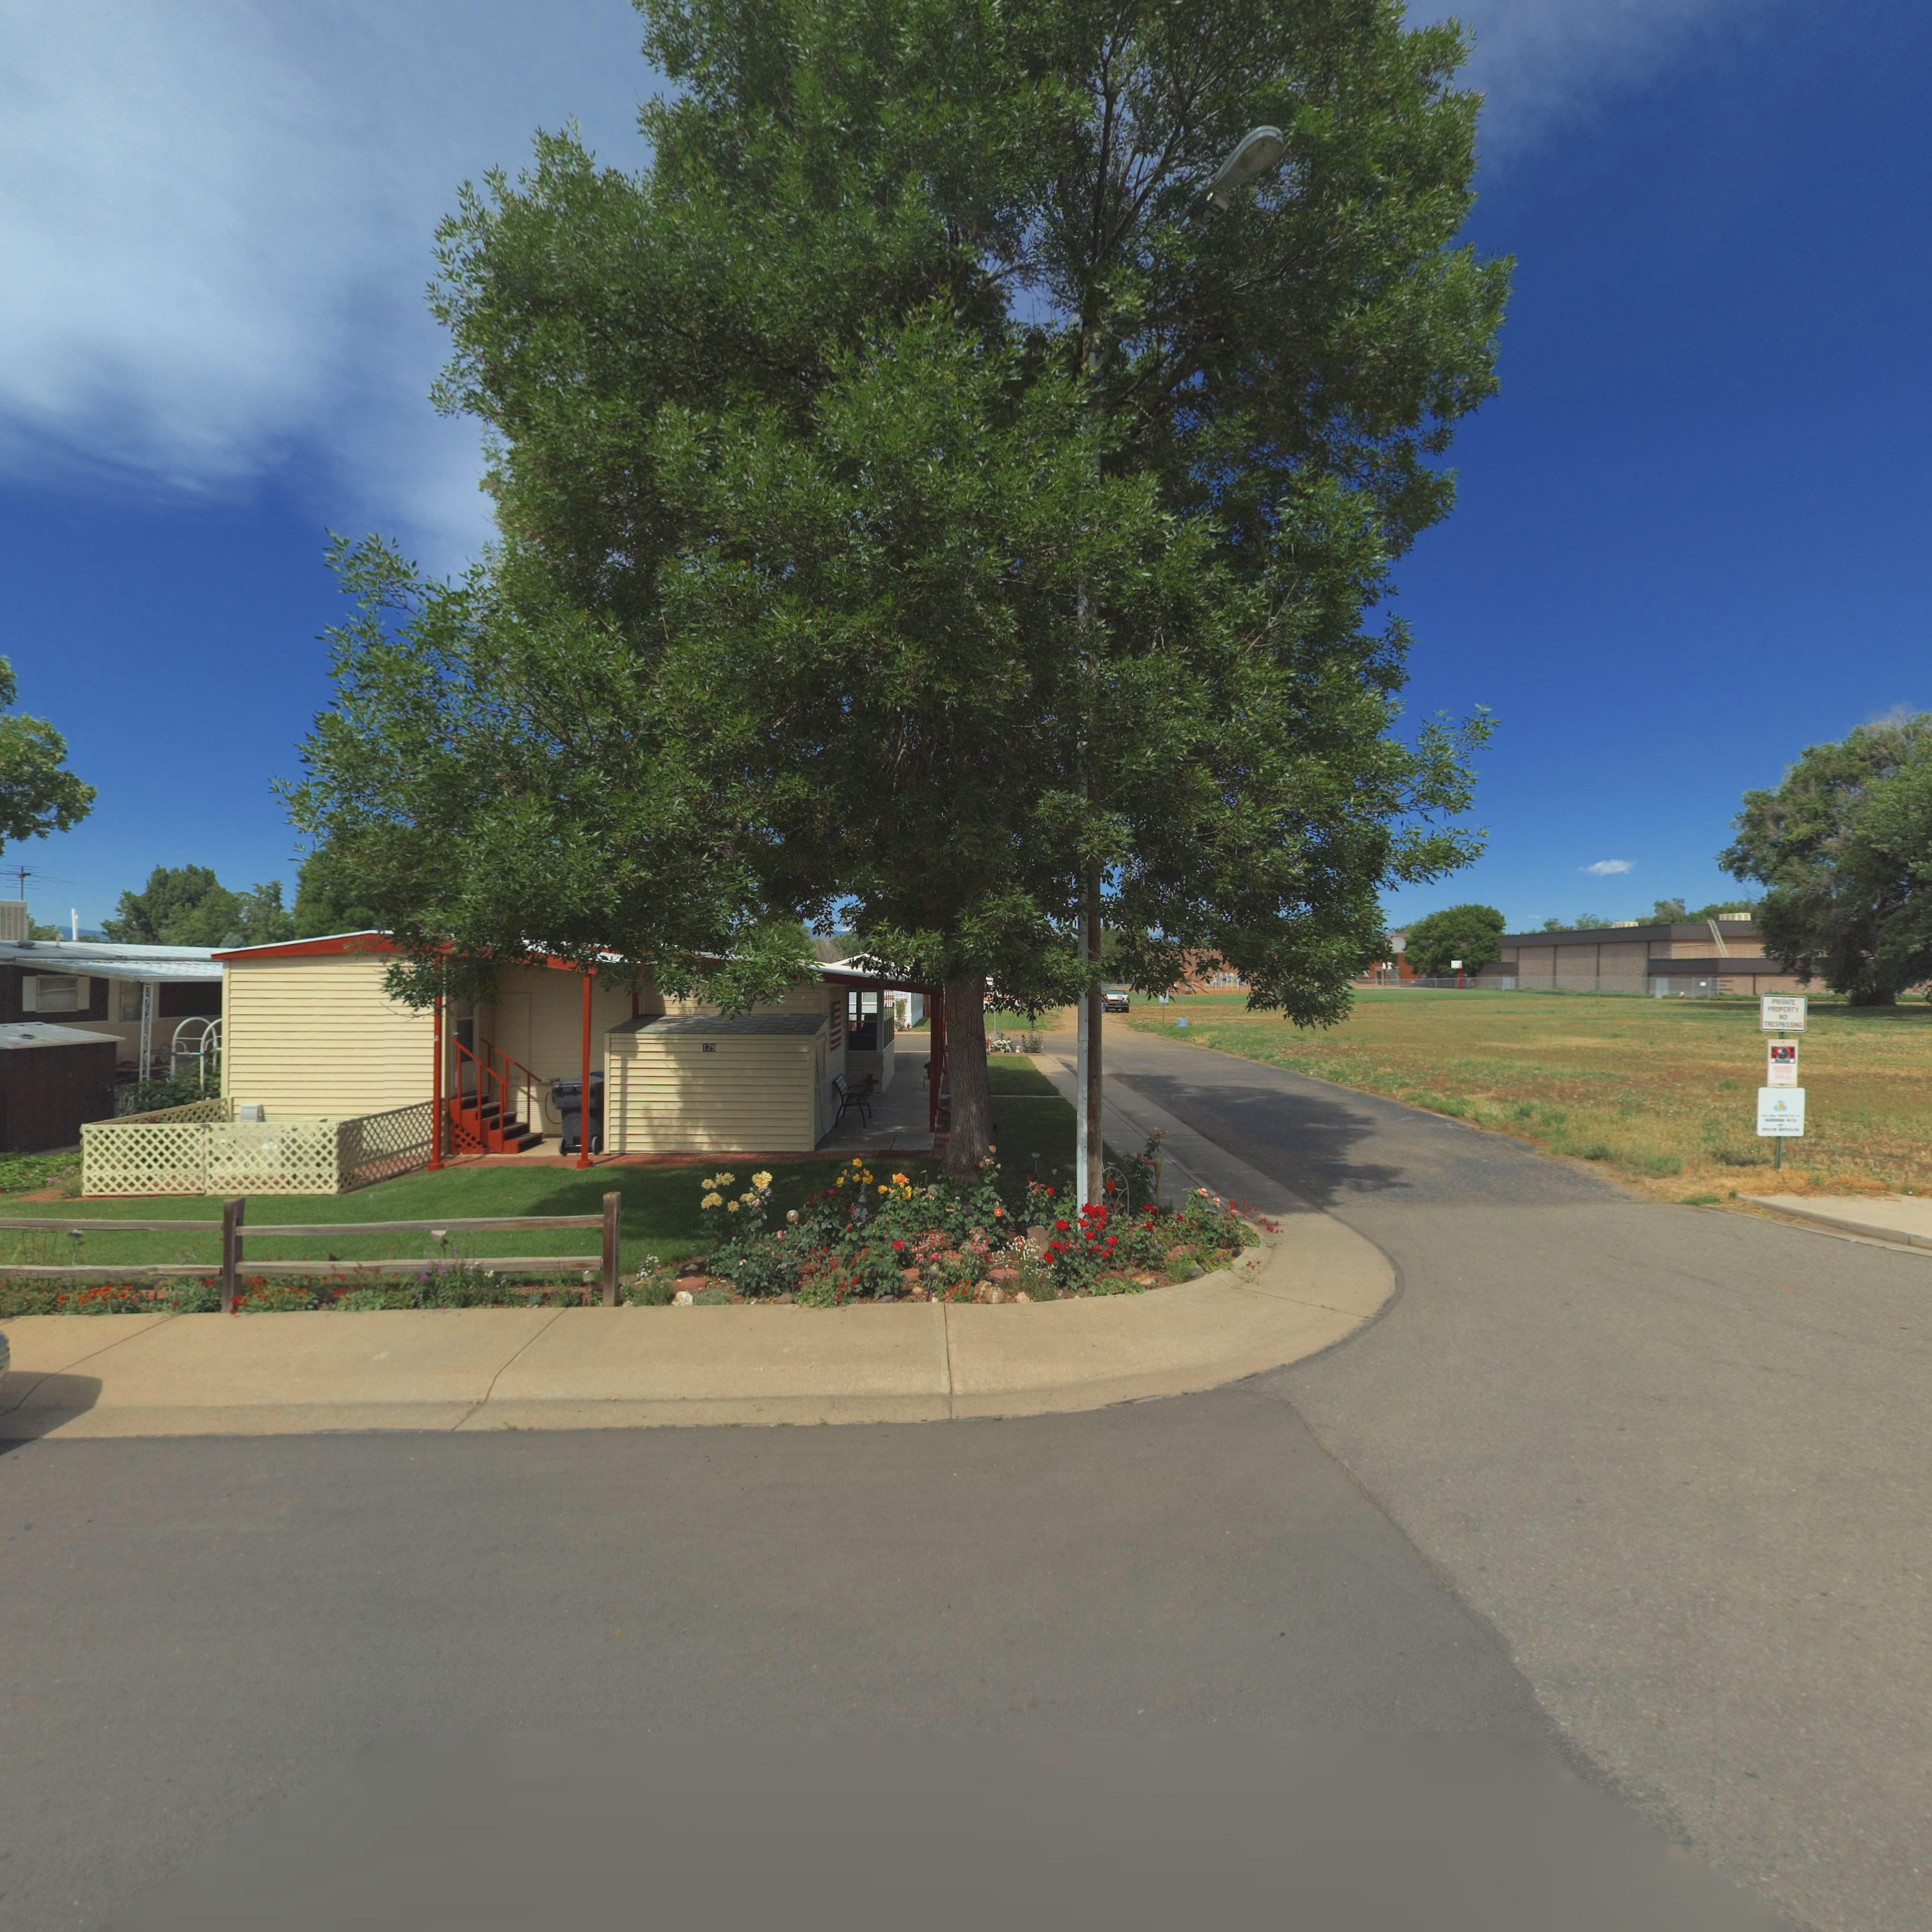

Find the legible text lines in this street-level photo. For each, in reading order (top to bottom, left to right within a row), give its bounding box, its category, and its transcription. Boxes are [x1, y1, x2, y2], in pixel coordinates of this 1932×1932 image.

[703, 1043, 716, 1051] StreetNumber: 129